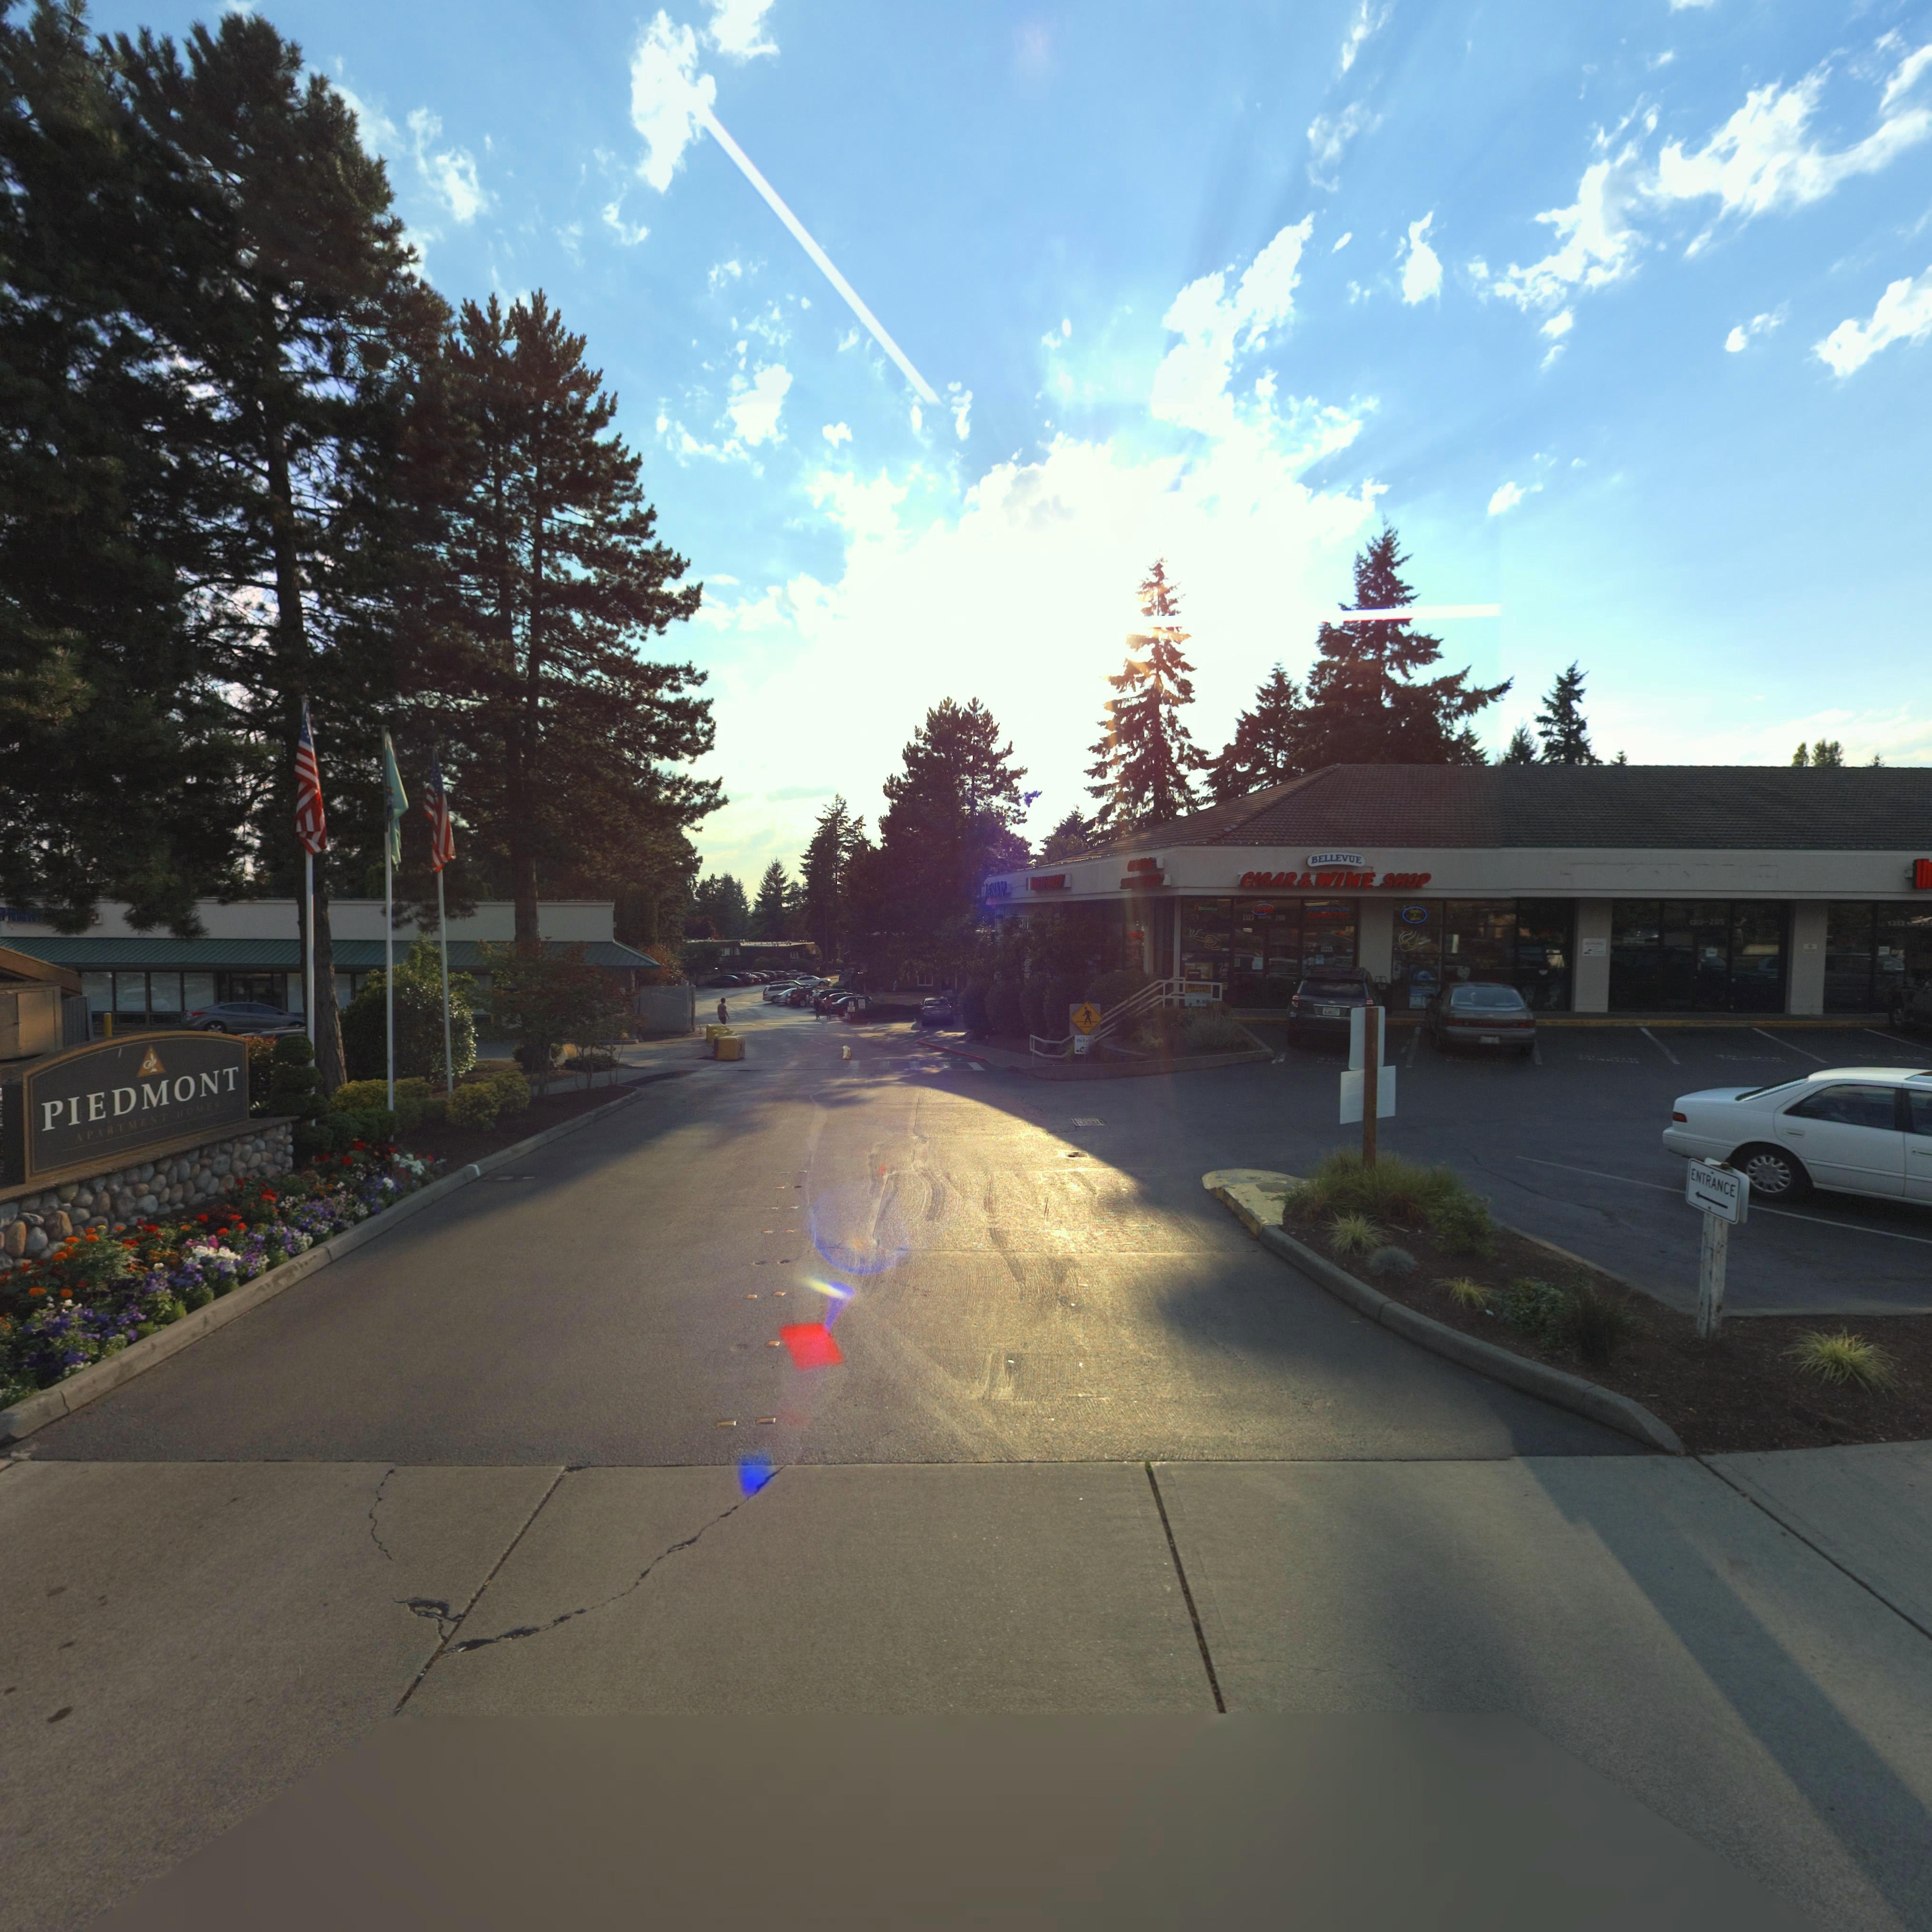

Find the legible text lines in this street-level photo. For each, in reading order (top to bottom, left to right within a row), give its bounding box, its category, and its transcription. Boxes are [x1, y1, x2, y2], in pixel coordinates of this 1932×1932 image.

[1311, 853, 1362, 865] BusinessName: BELLEVUE
[1237, 870, 1432, 889] BusinessName: CIGAR*WINE SHOP
[1243, 914, 1255, 921] StreetNumber: 1313